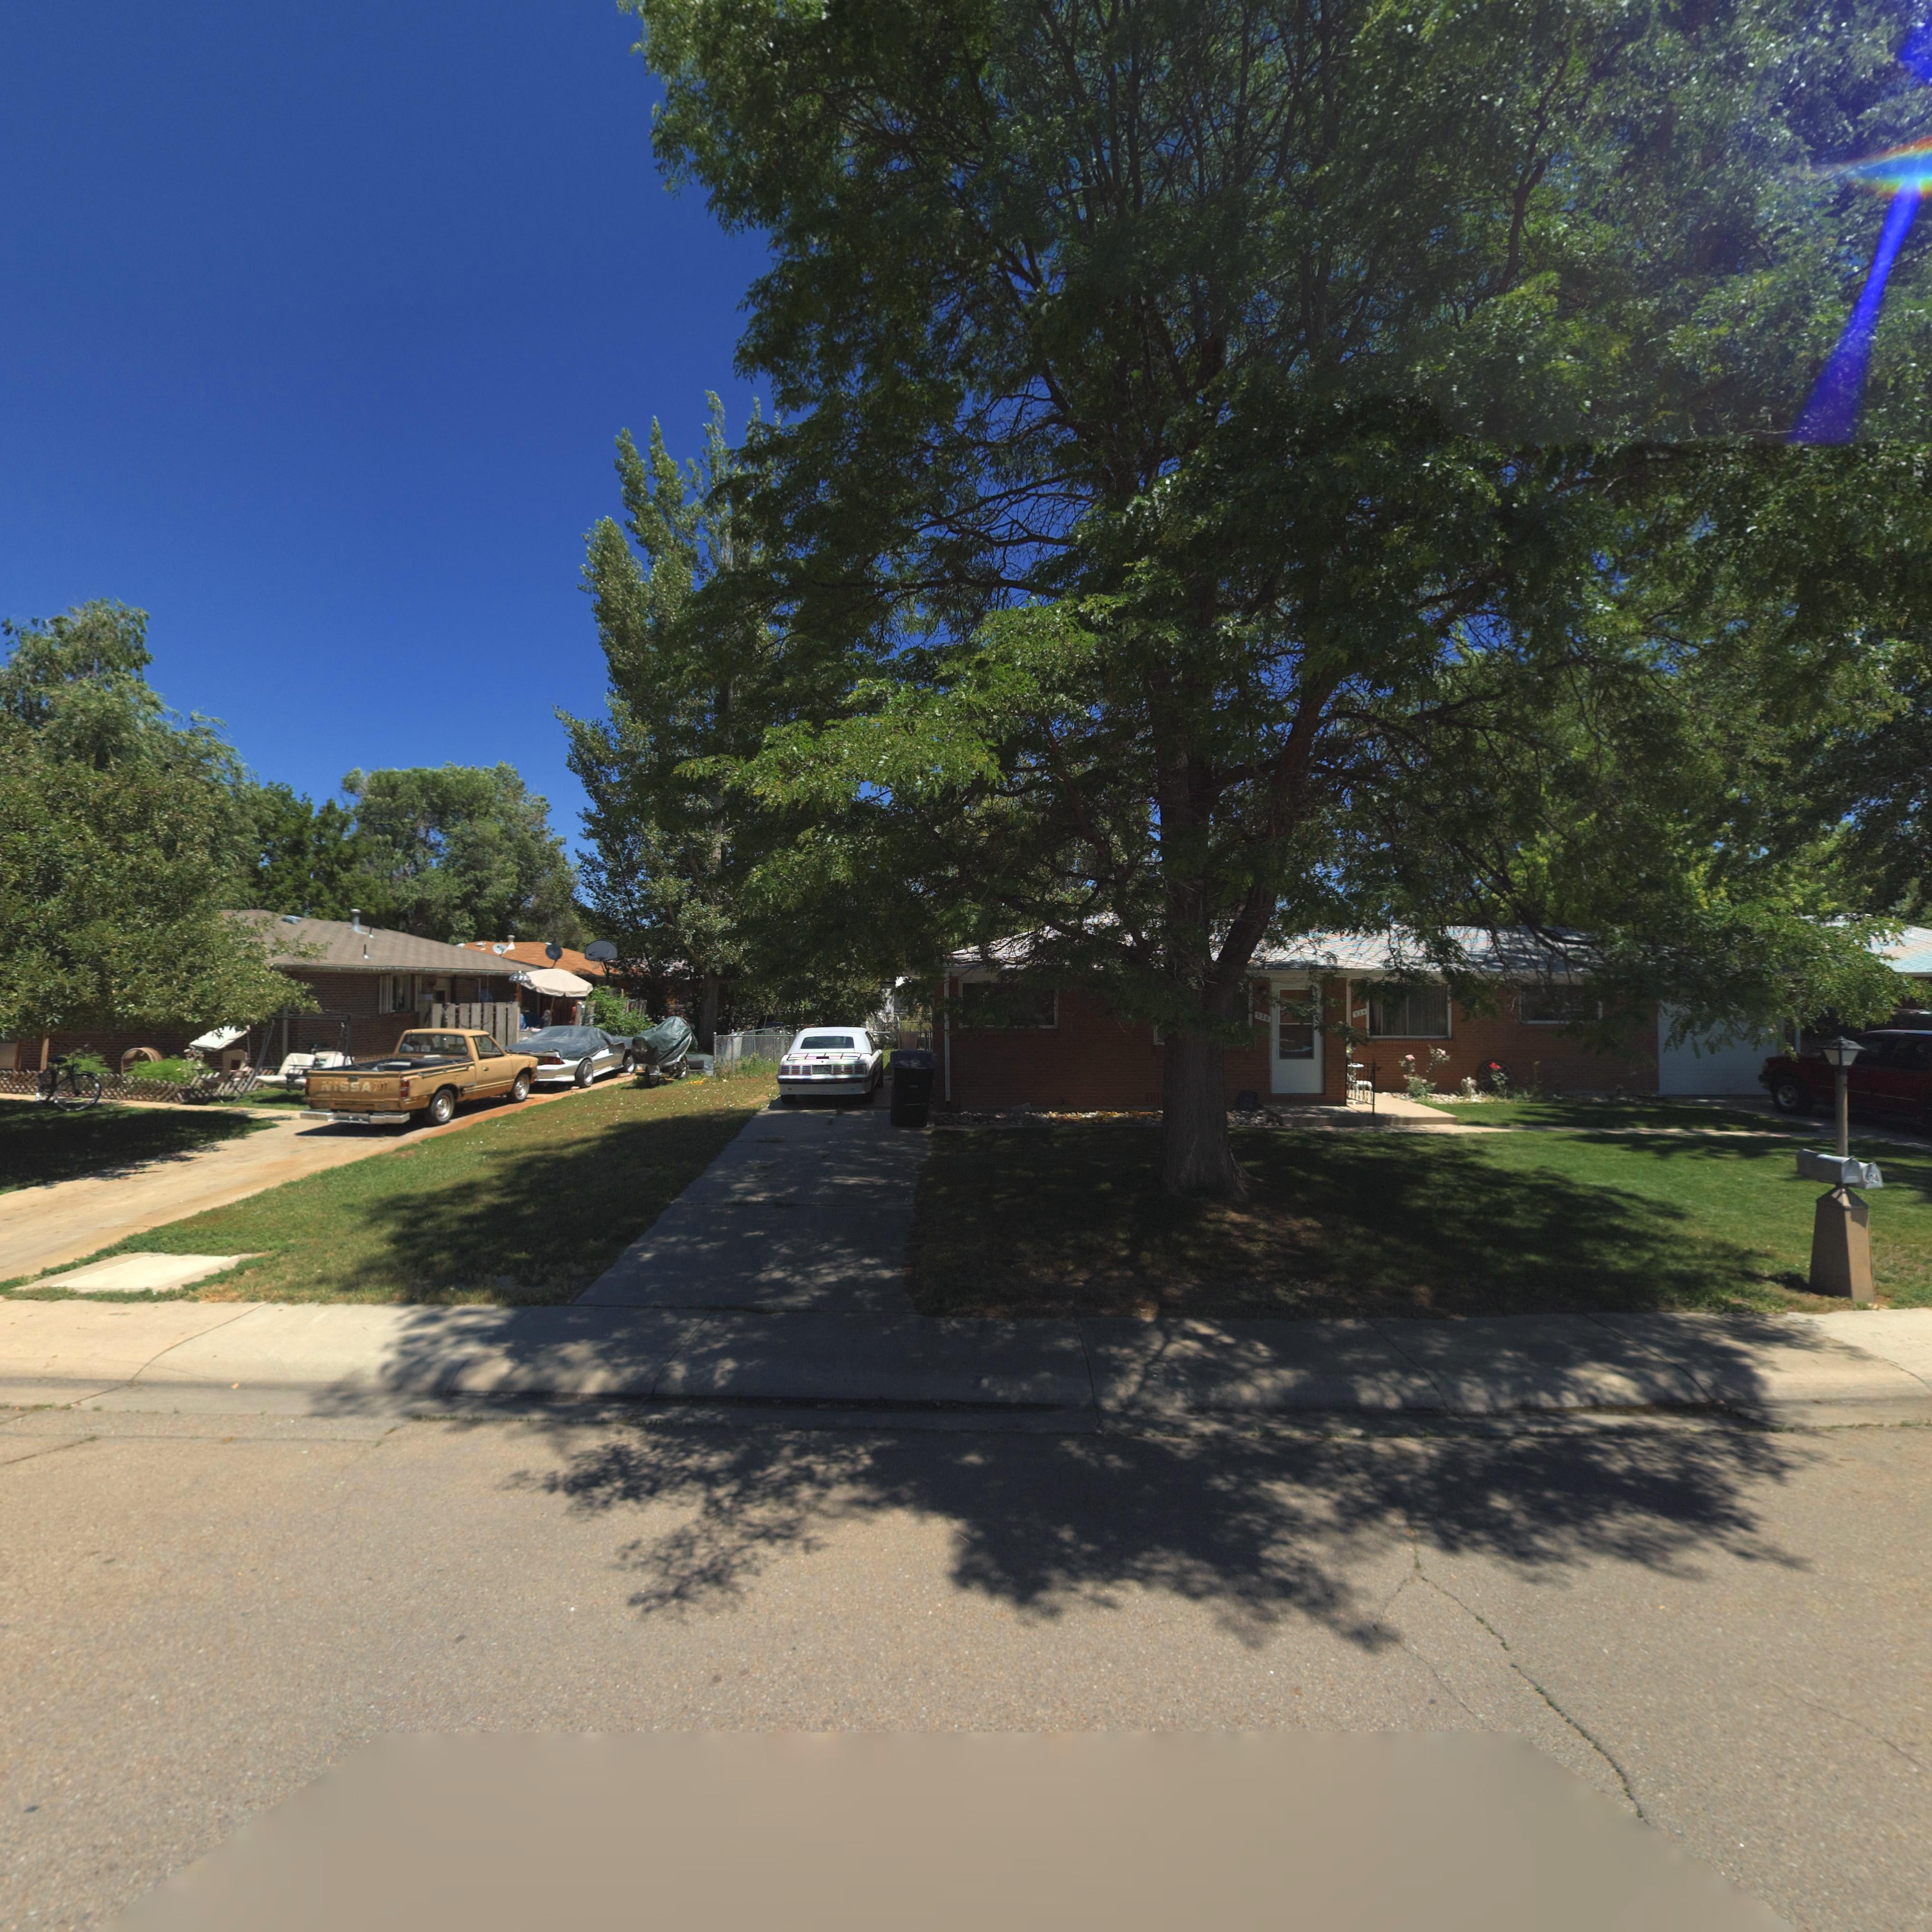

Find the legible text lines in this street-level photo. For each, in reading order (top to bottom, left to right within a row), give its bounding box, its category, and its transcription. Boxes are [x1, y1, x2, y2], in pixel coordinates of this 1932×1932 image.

[1256, 1012, 1269, 1021] StreetNumber: 326
[1353, 1009, 1366, 1017] StreetNumber: 32*
[1864, 1174, 1879, 1184] StreetNumber: 324